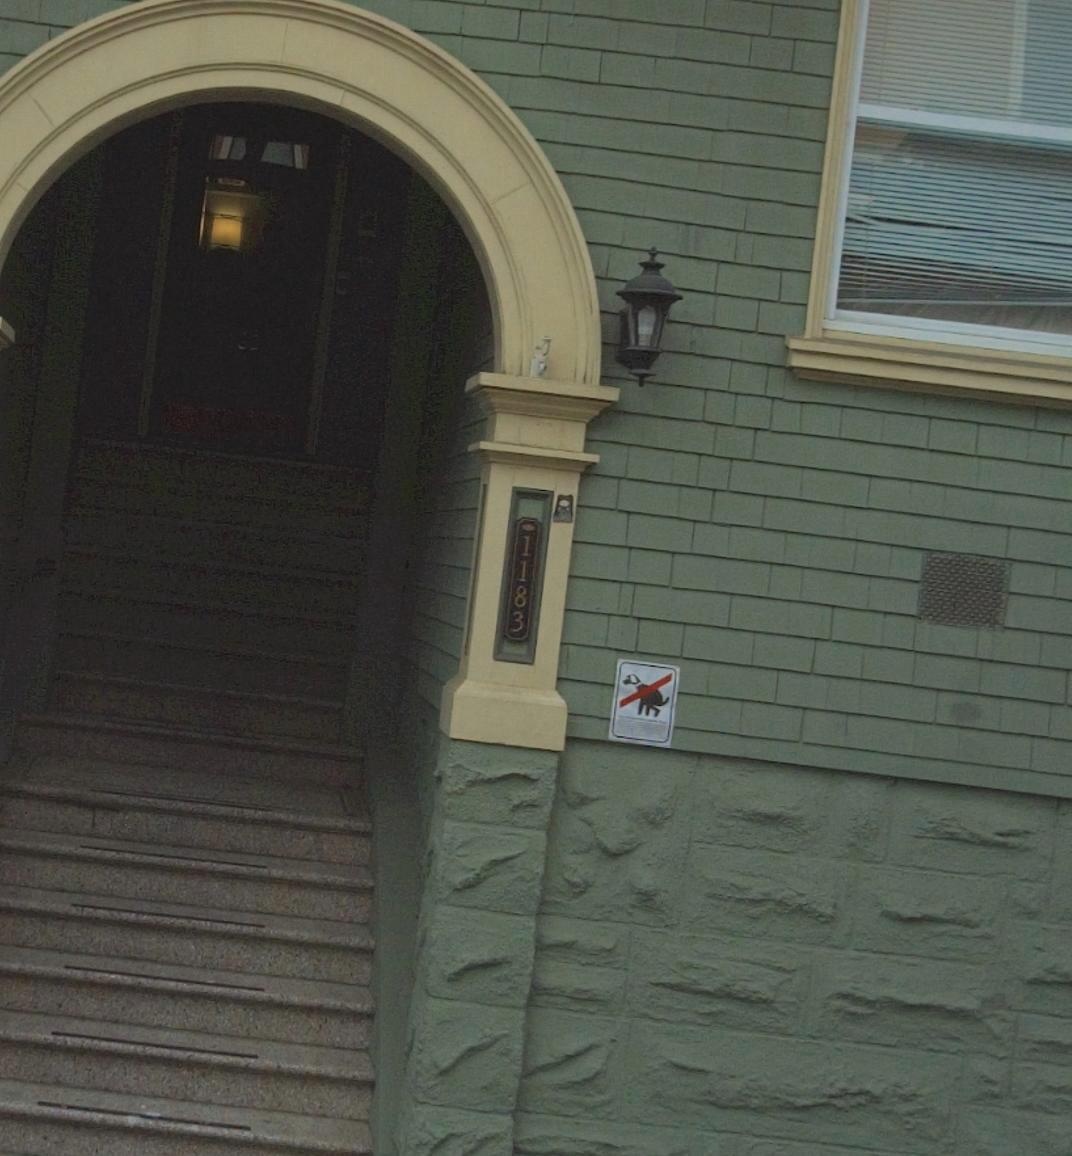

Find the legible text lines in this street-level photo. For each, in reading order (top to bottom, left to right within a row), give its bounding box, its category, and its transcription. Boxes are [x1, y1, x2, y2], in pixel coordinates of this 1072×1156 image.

[506, 532, 536, 637] StreetNumber: 1183